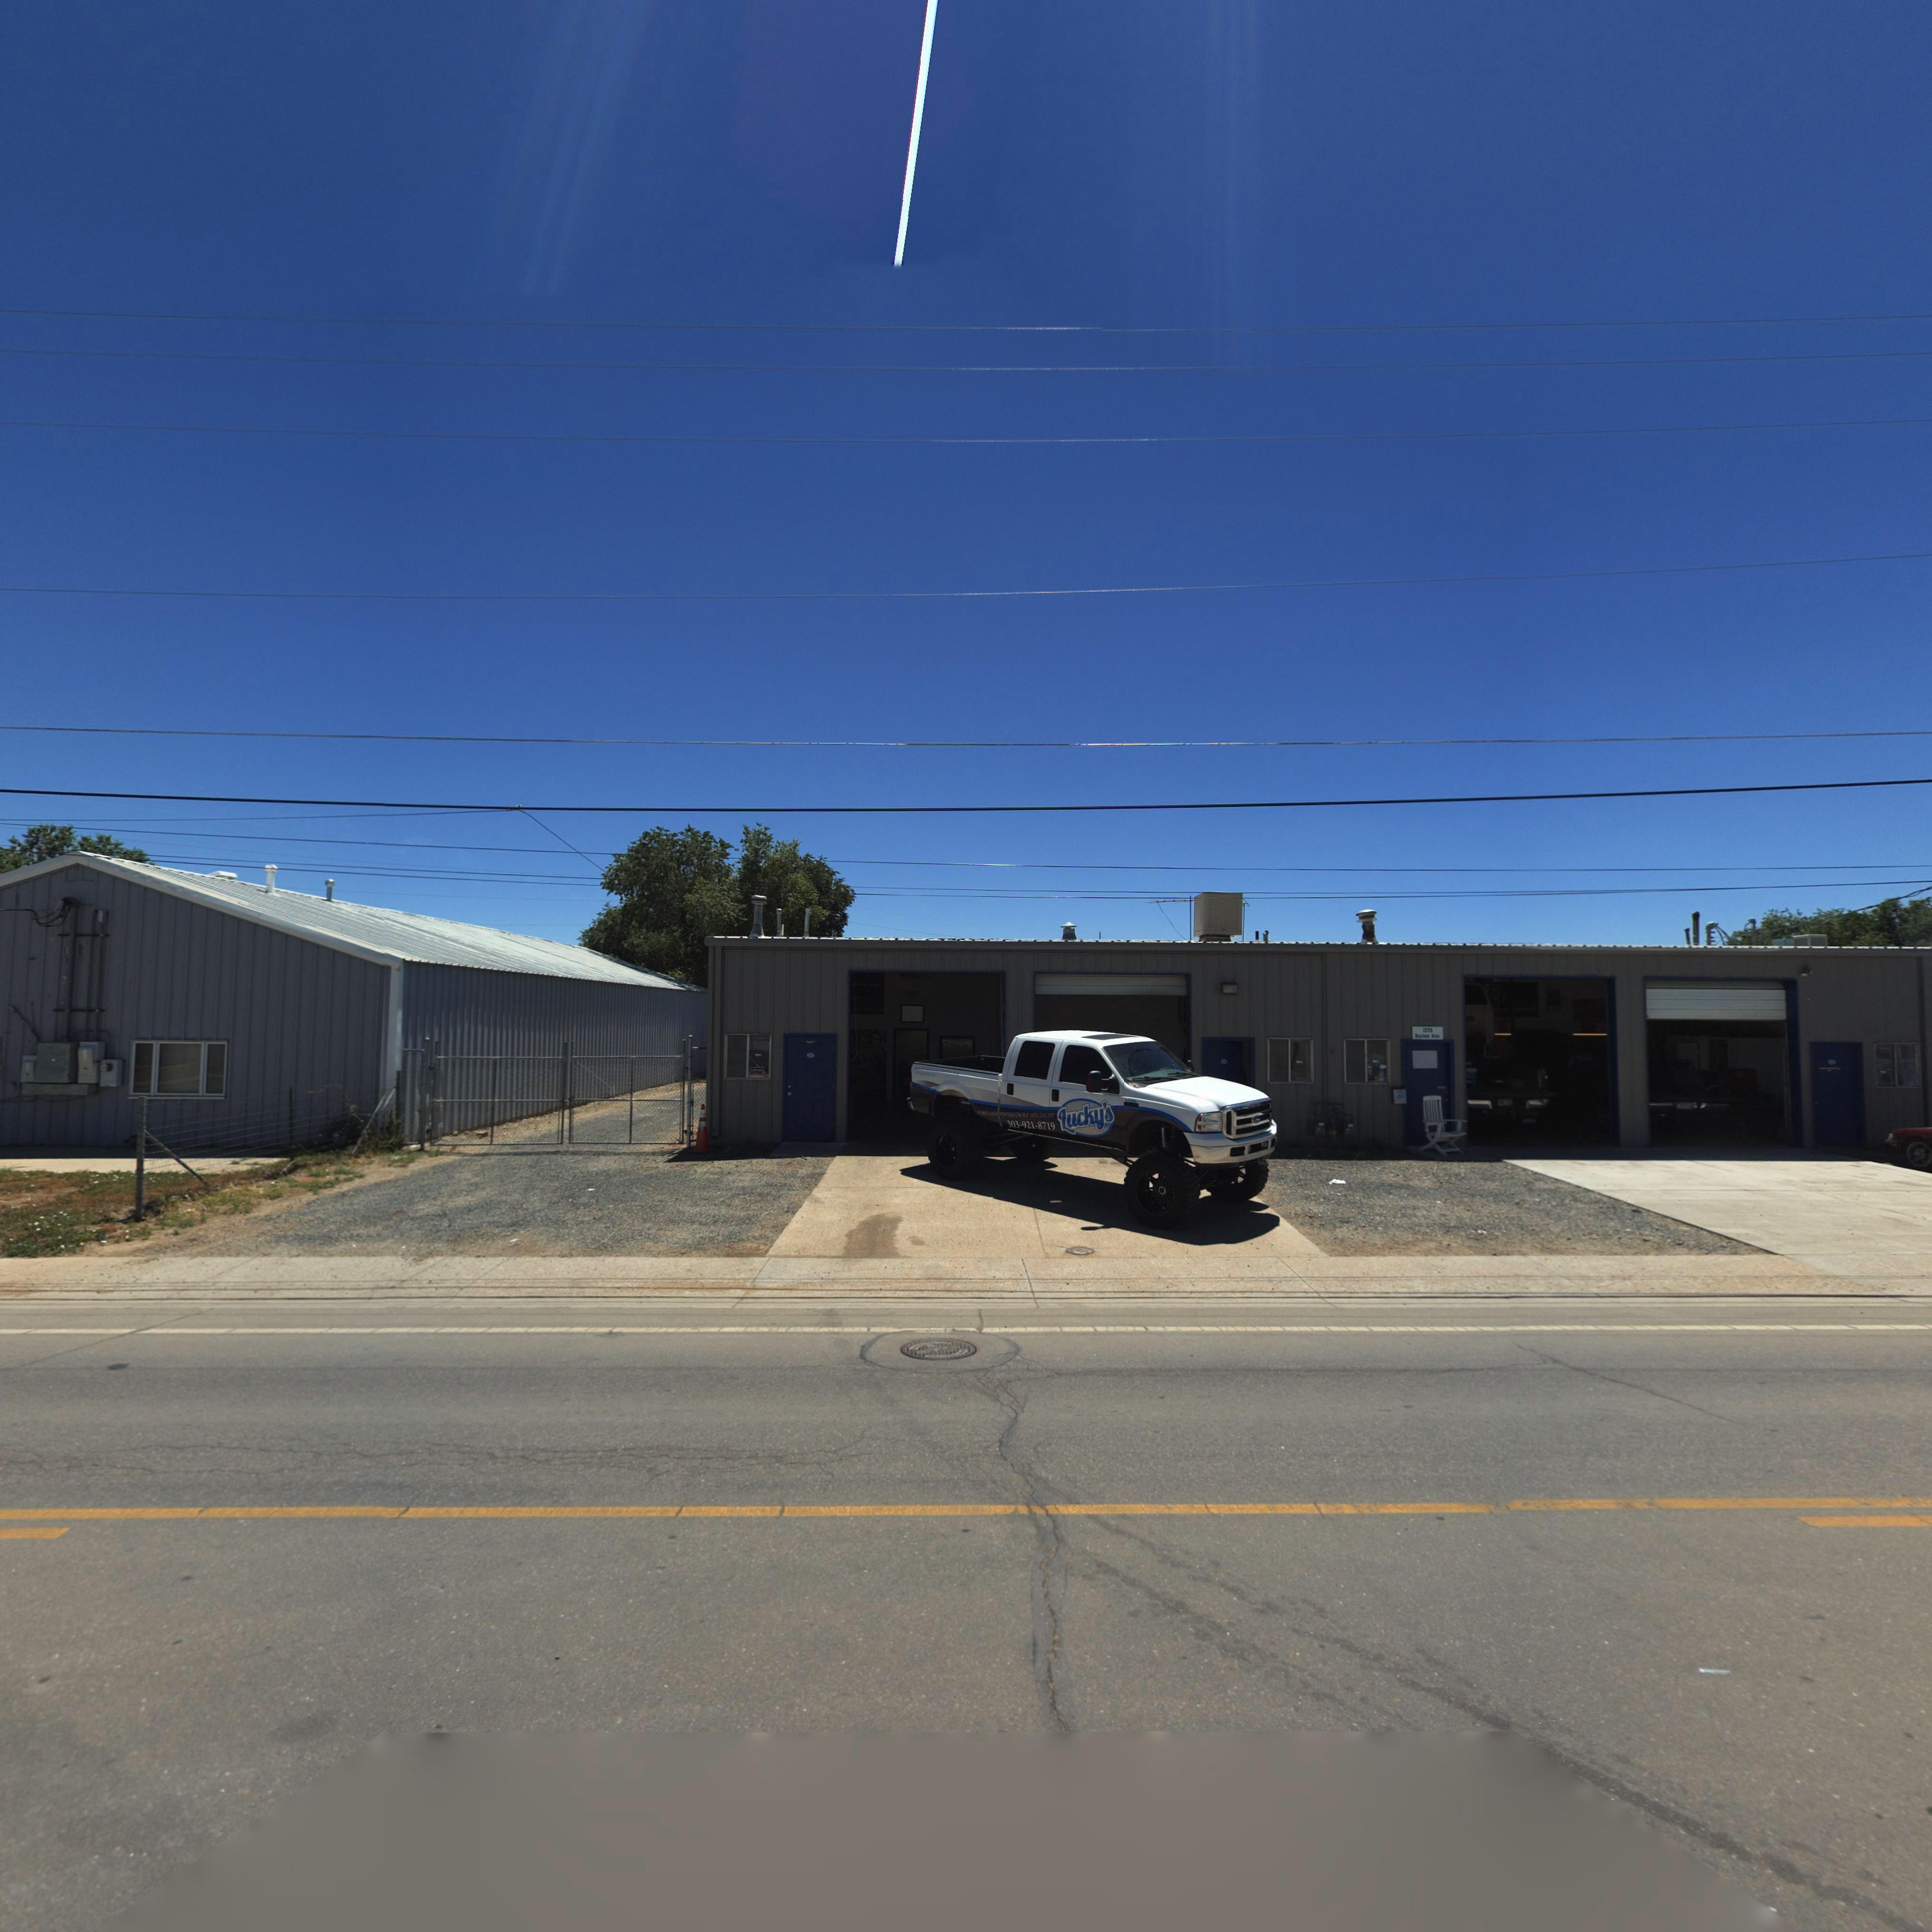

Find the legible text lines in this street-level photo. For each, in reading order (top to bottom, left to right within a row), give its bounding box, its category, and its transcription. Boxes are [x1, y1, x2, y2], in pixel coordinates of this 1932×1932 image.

[1422, 1028, 1432, 1032] StreetNumber: 1225
[1415, 1034, 1439, 1038] StreetName: Boston Ave